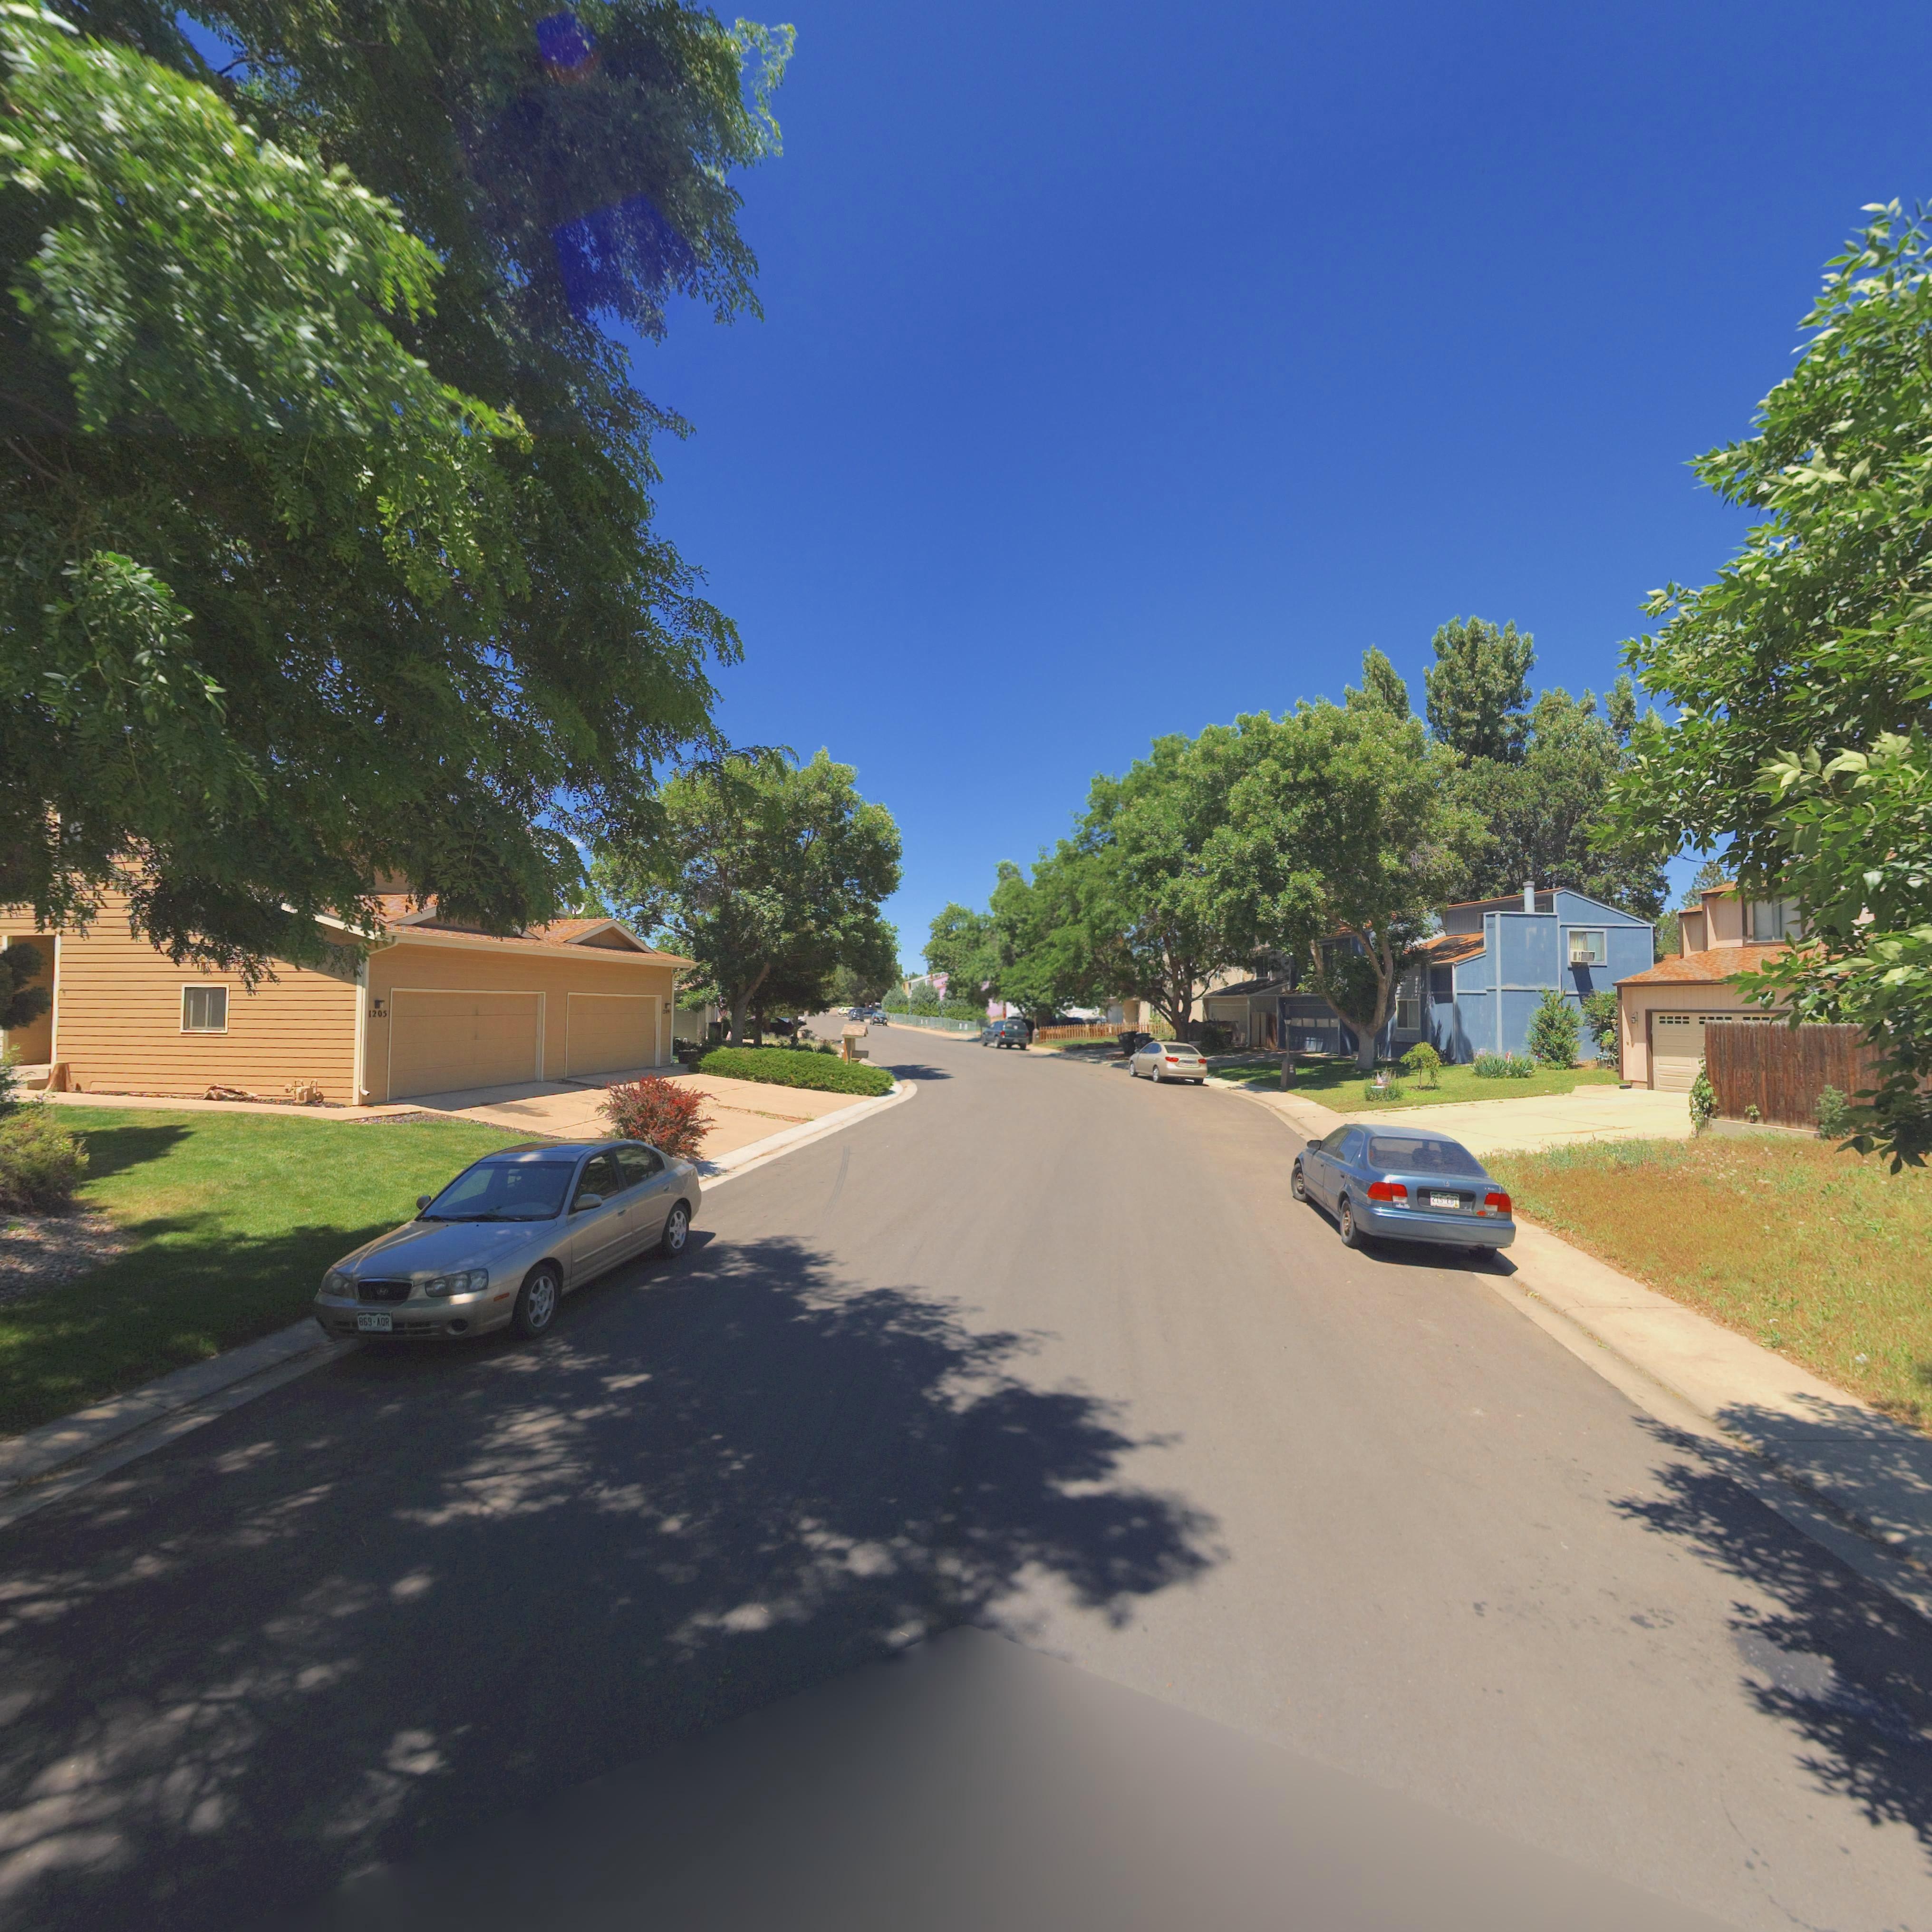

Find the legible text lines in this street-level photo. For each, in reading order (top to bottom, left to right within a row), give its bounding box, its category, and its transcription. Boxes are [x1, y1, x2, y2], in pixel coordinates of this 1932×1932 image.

[368, 1009, 387, 1018] StreetNumber: 1205
[662, 1009, 669, 1014] StreetNumber: 1209